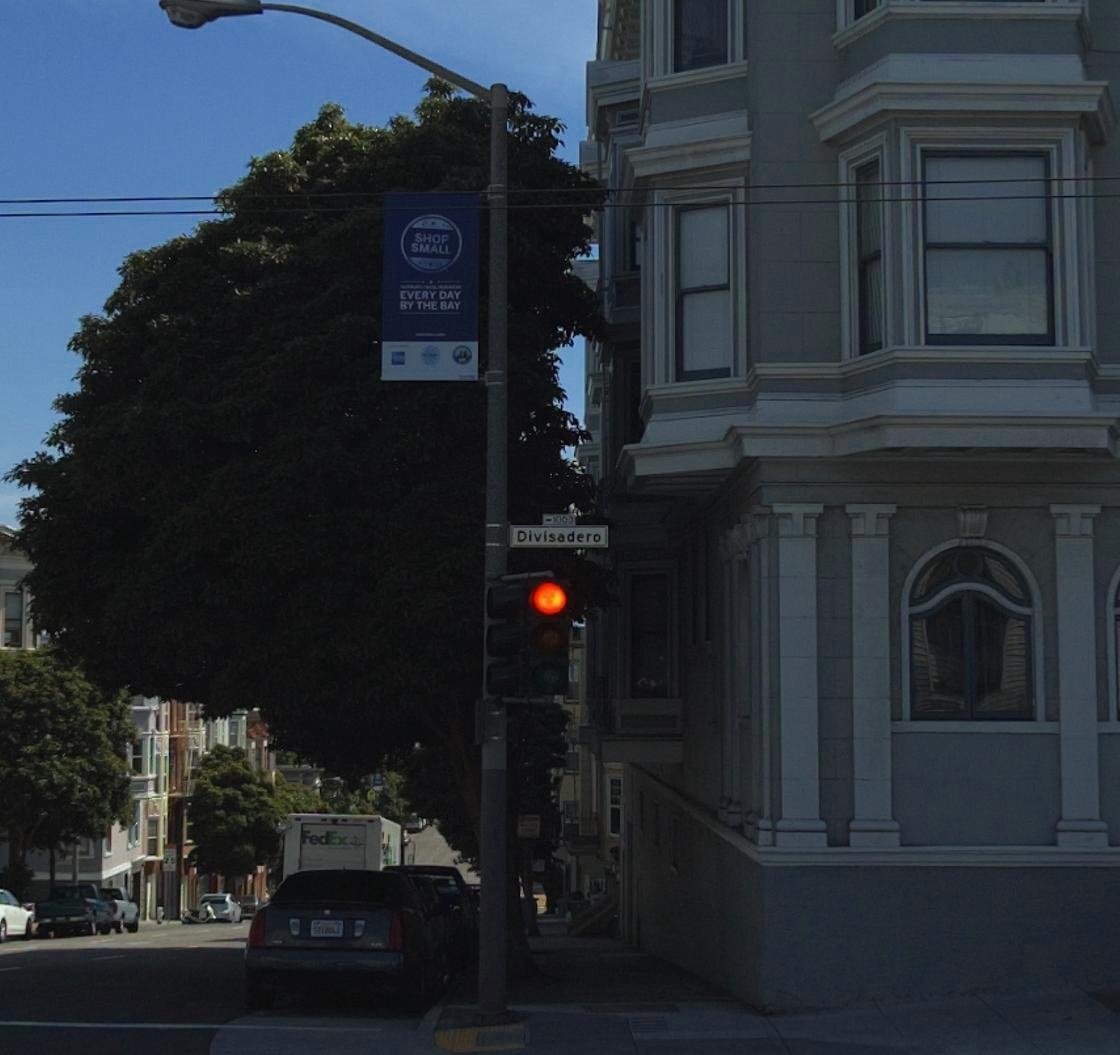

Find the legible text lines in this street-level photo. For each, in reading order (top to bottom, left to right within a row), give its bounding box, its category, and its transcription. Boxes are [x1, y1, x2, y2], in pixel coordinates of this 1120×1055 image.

[413, 232, 449, 245] None: SHOP
[409, 243, 452, 254] None: SMALL
[399, 289, 461, 301] None: EVERY DAY
[399, 300, 460, 312] None: BY THE BAY
[542, 515, 573, 525] StreetNumberRange: <-1000
[517, 527, 601, 542] StreetName: Divisadero
[301, 828, 348, 847] BusinessName: FedEx